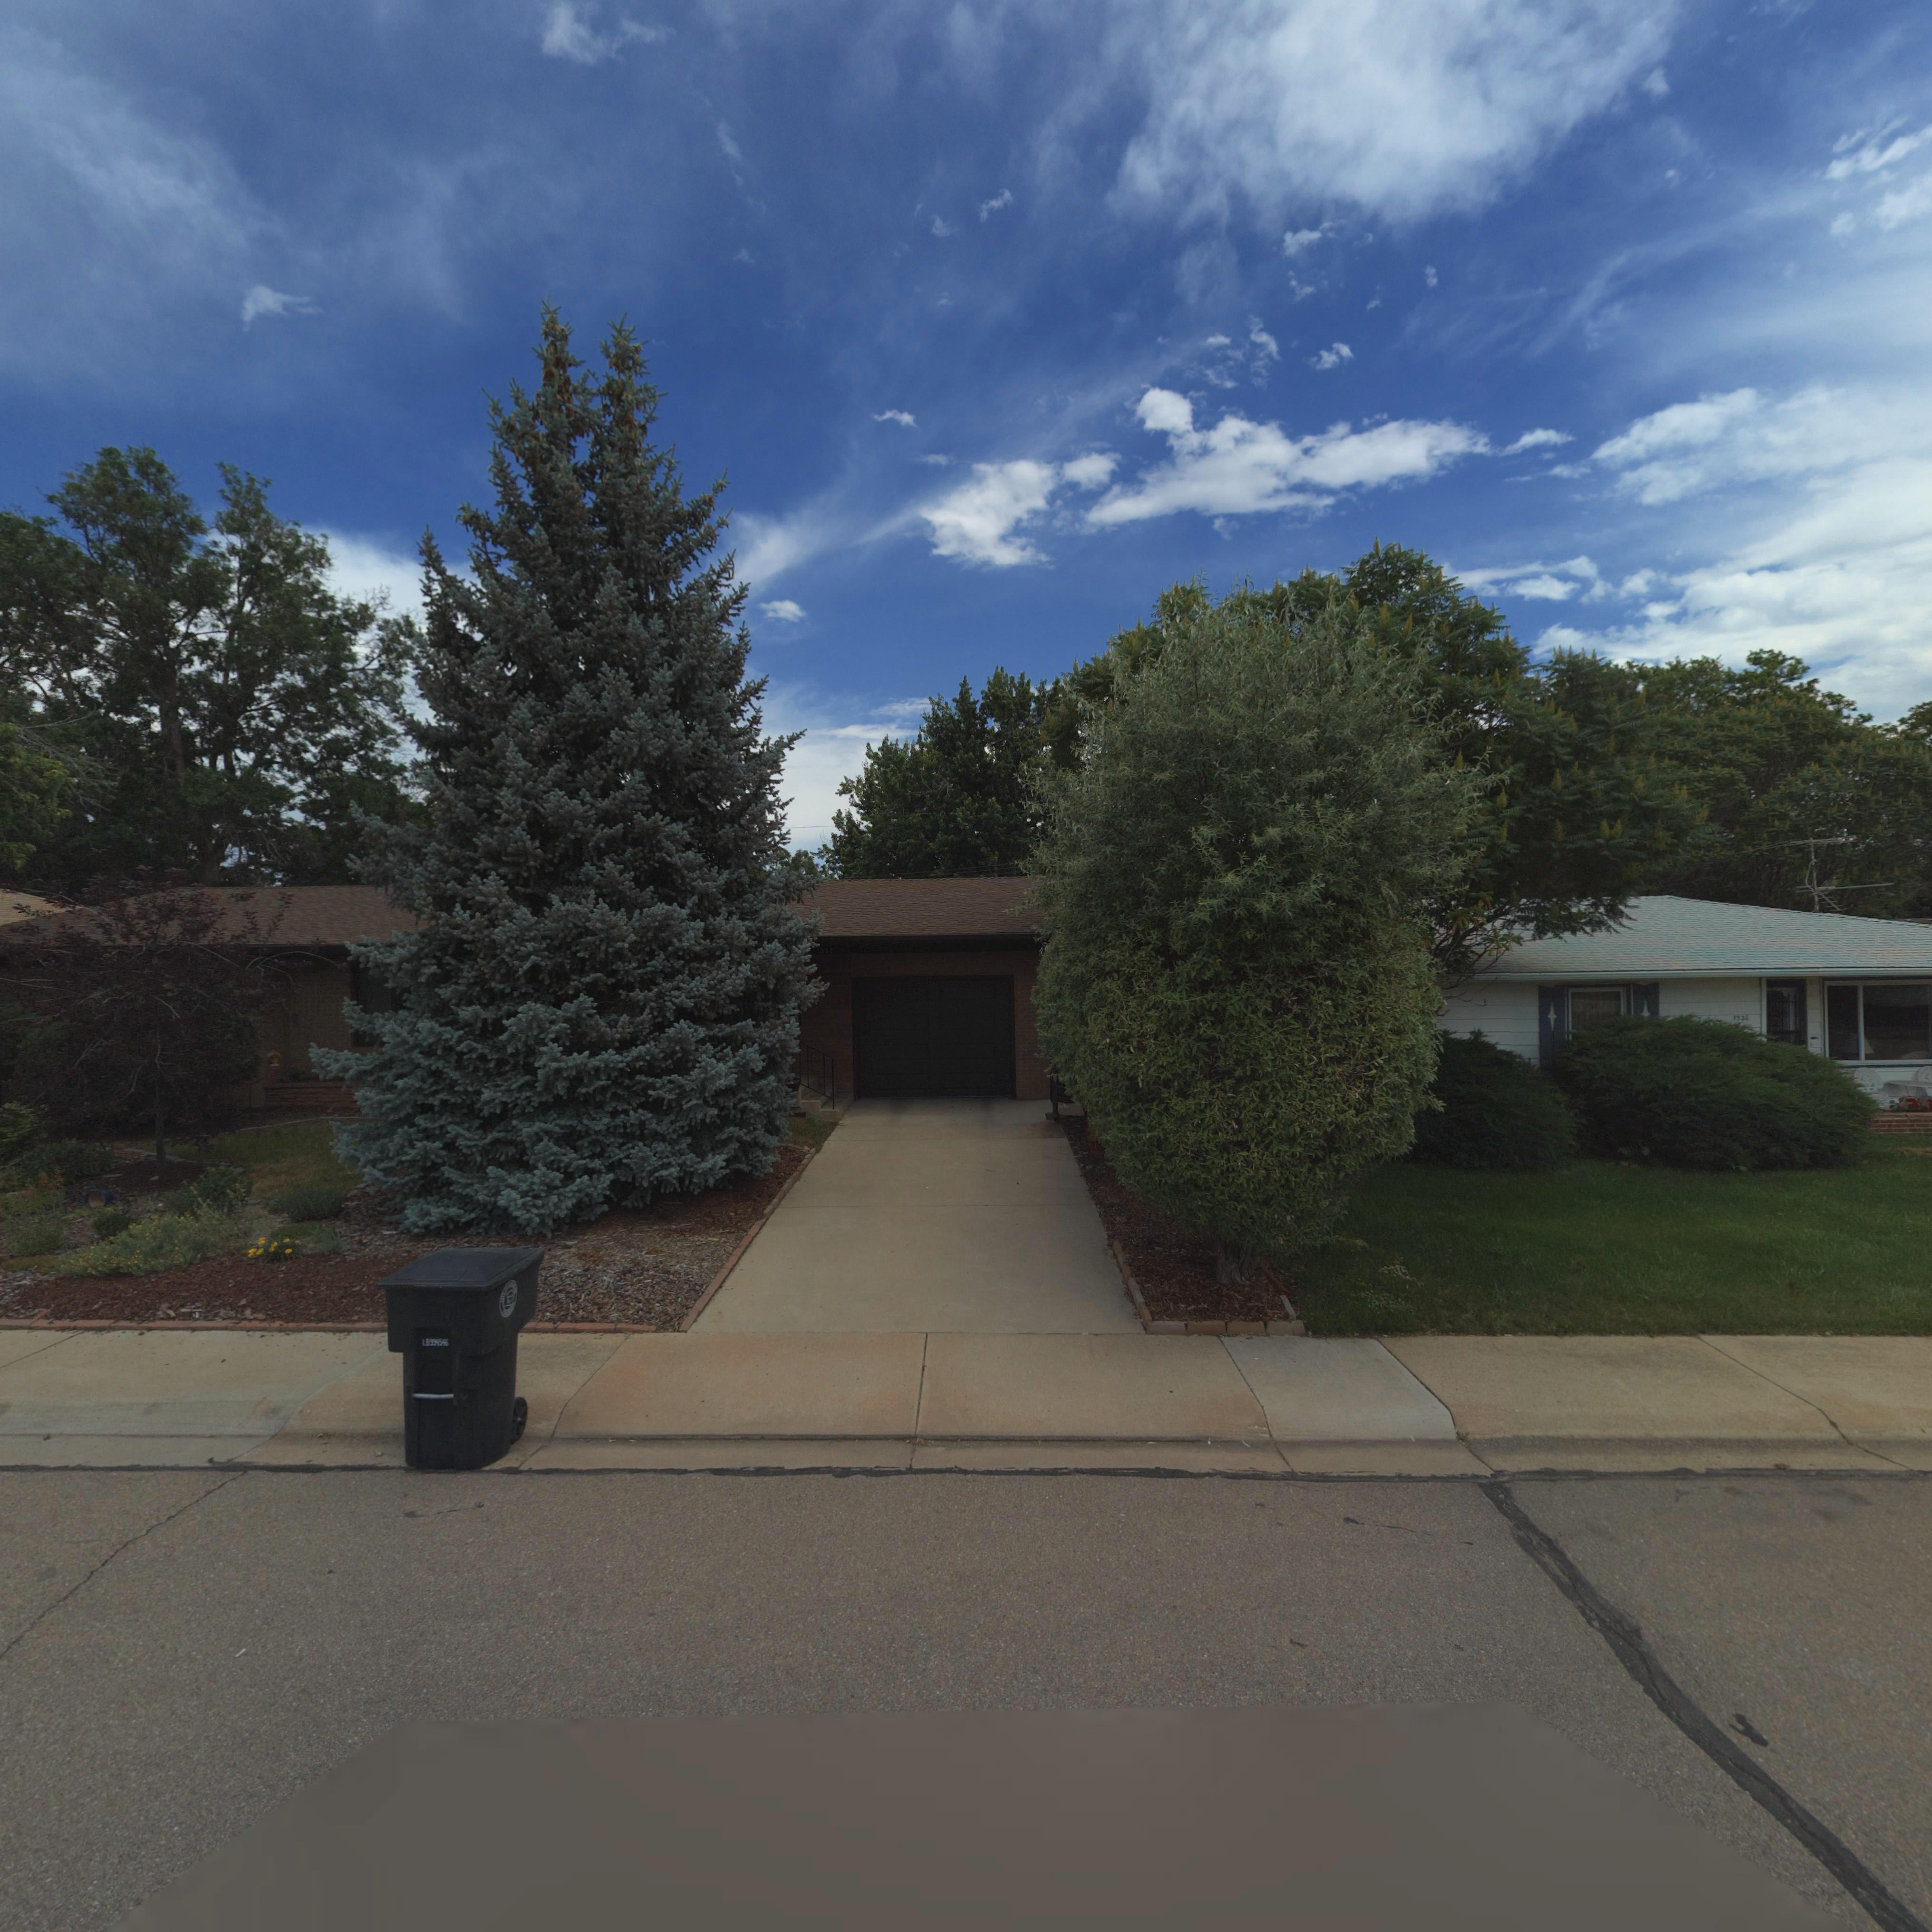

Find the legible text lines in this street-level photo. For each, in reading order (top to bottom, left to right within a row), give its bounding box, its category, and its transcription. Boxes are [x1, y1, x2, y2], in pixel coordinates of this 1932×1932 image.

[1733, 1014, 1749, 1022] StreetNumber: 1326